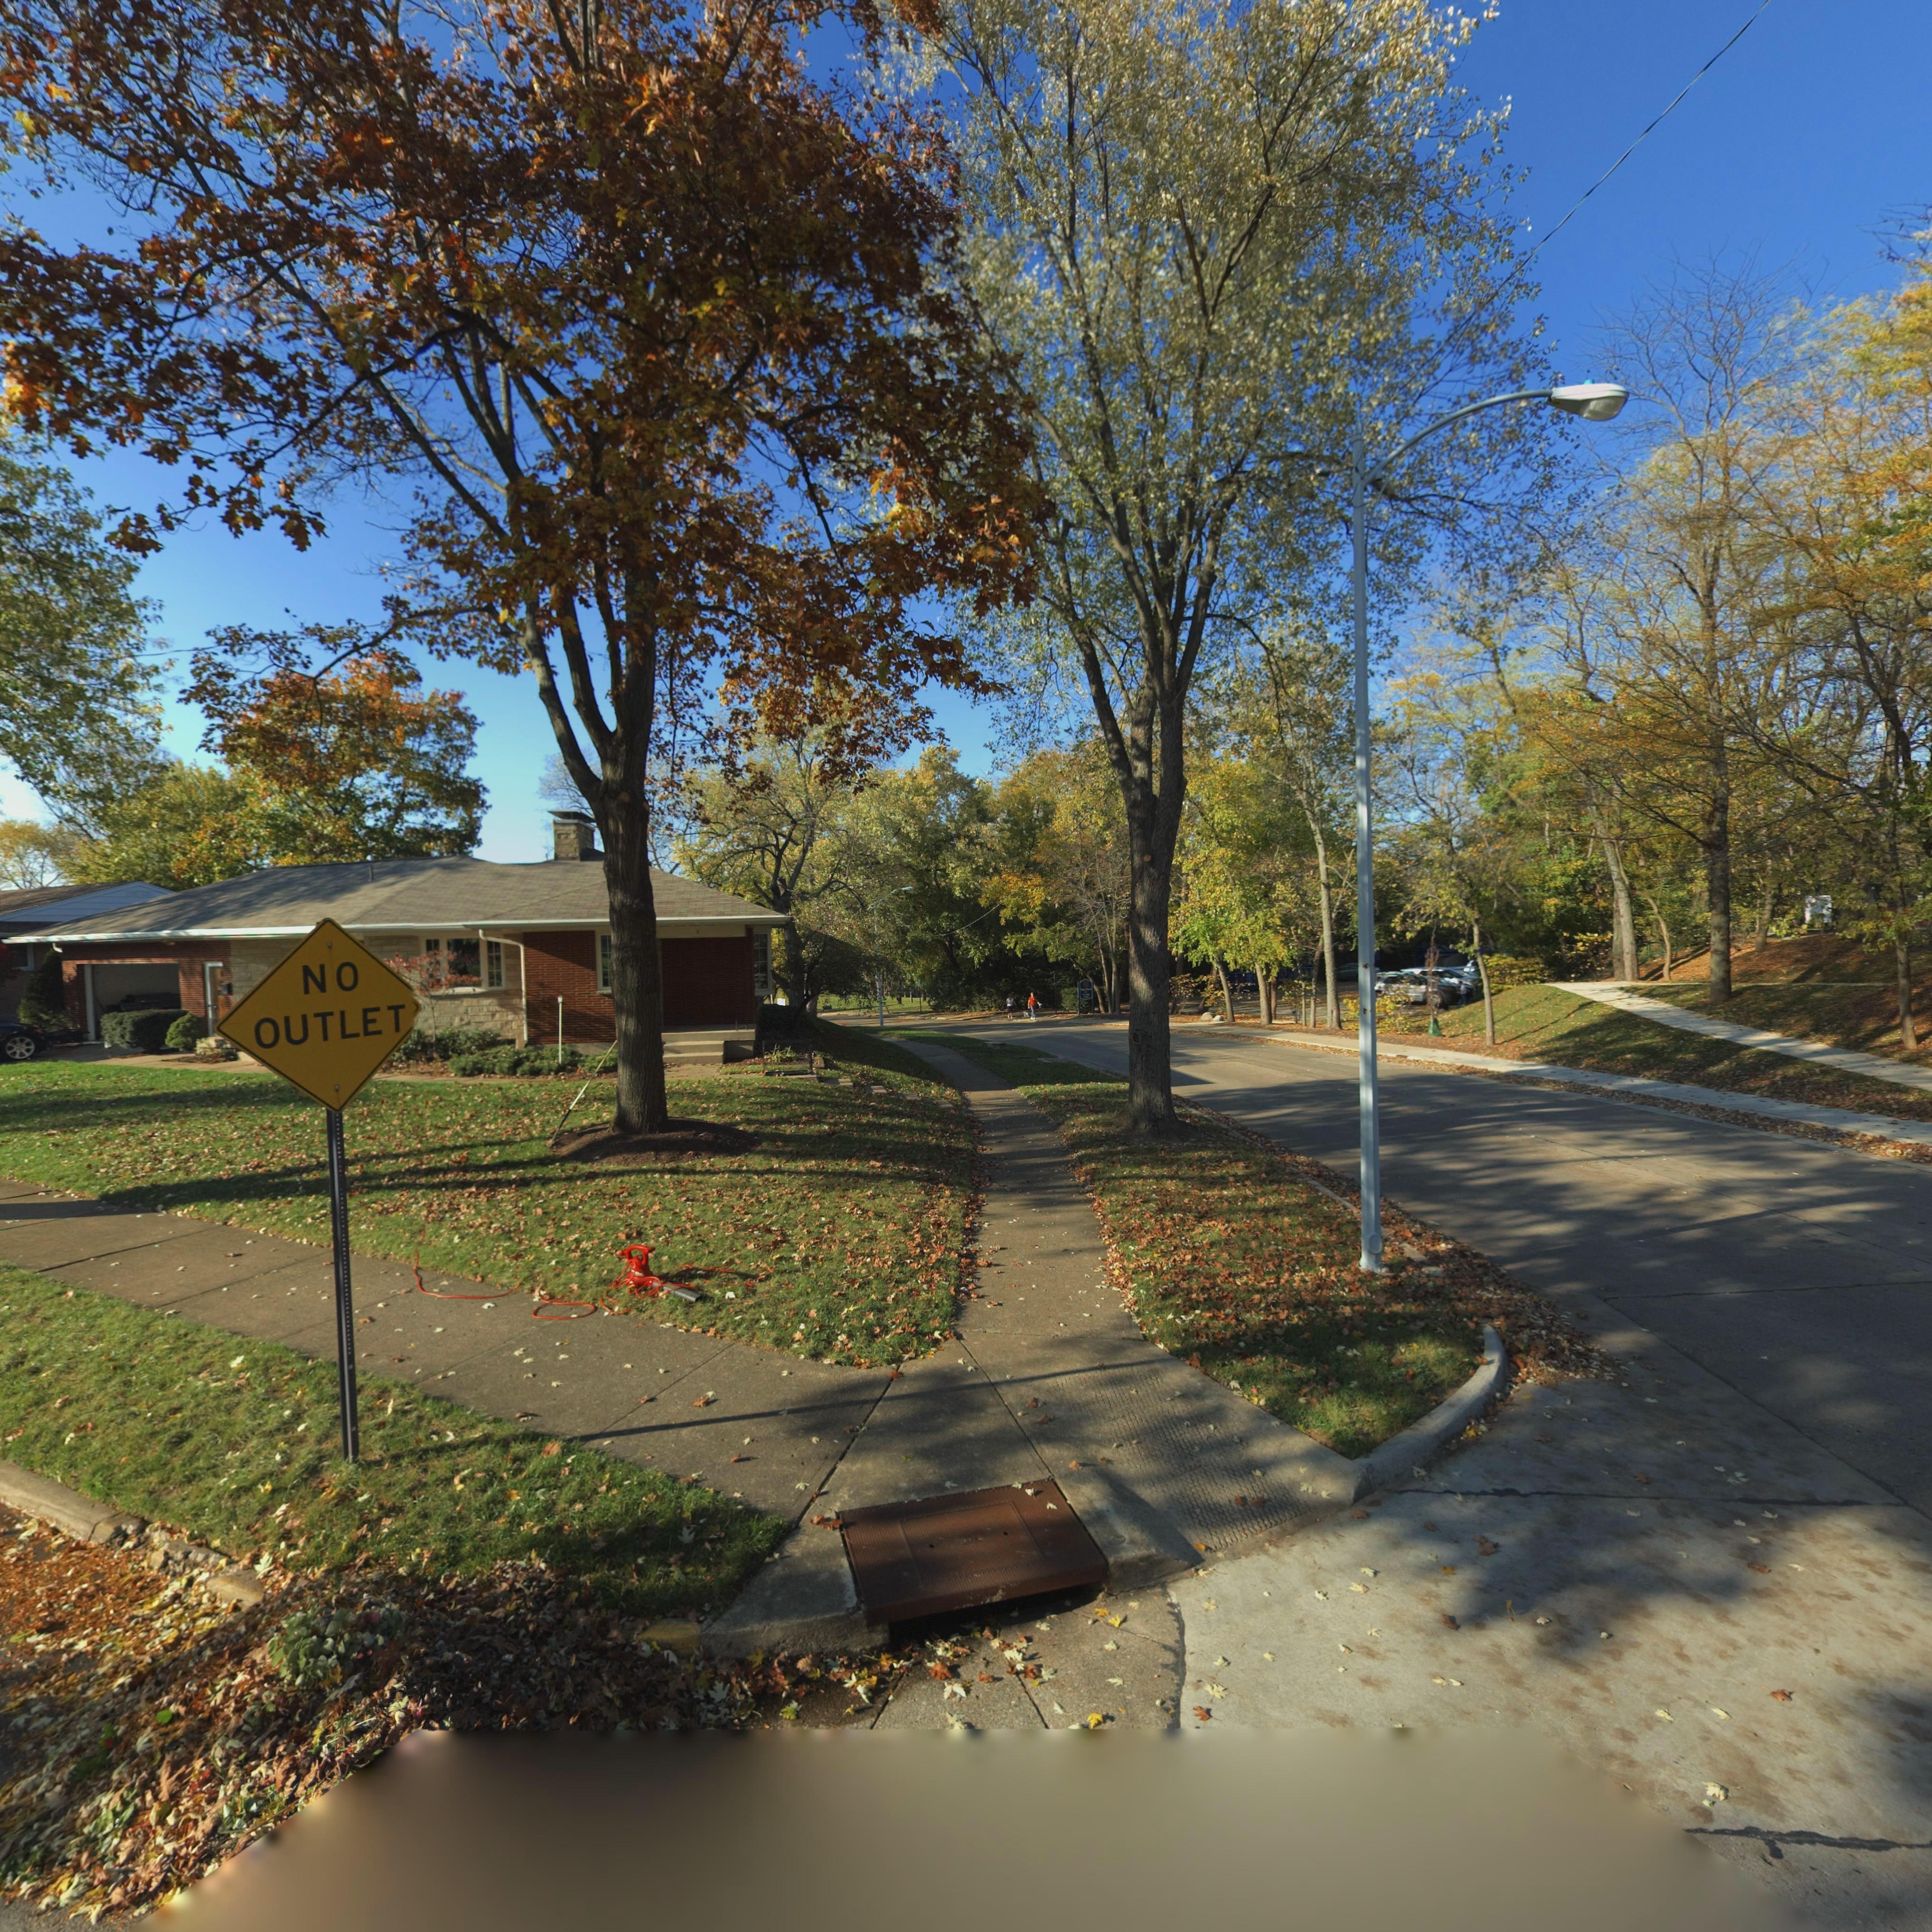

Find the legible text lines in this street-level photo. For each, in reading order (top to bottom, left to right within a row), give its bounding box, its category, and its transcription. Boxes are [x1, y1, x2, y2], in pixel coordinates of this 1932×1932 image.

[696, 929, 700, 934] StreetNumber: 5